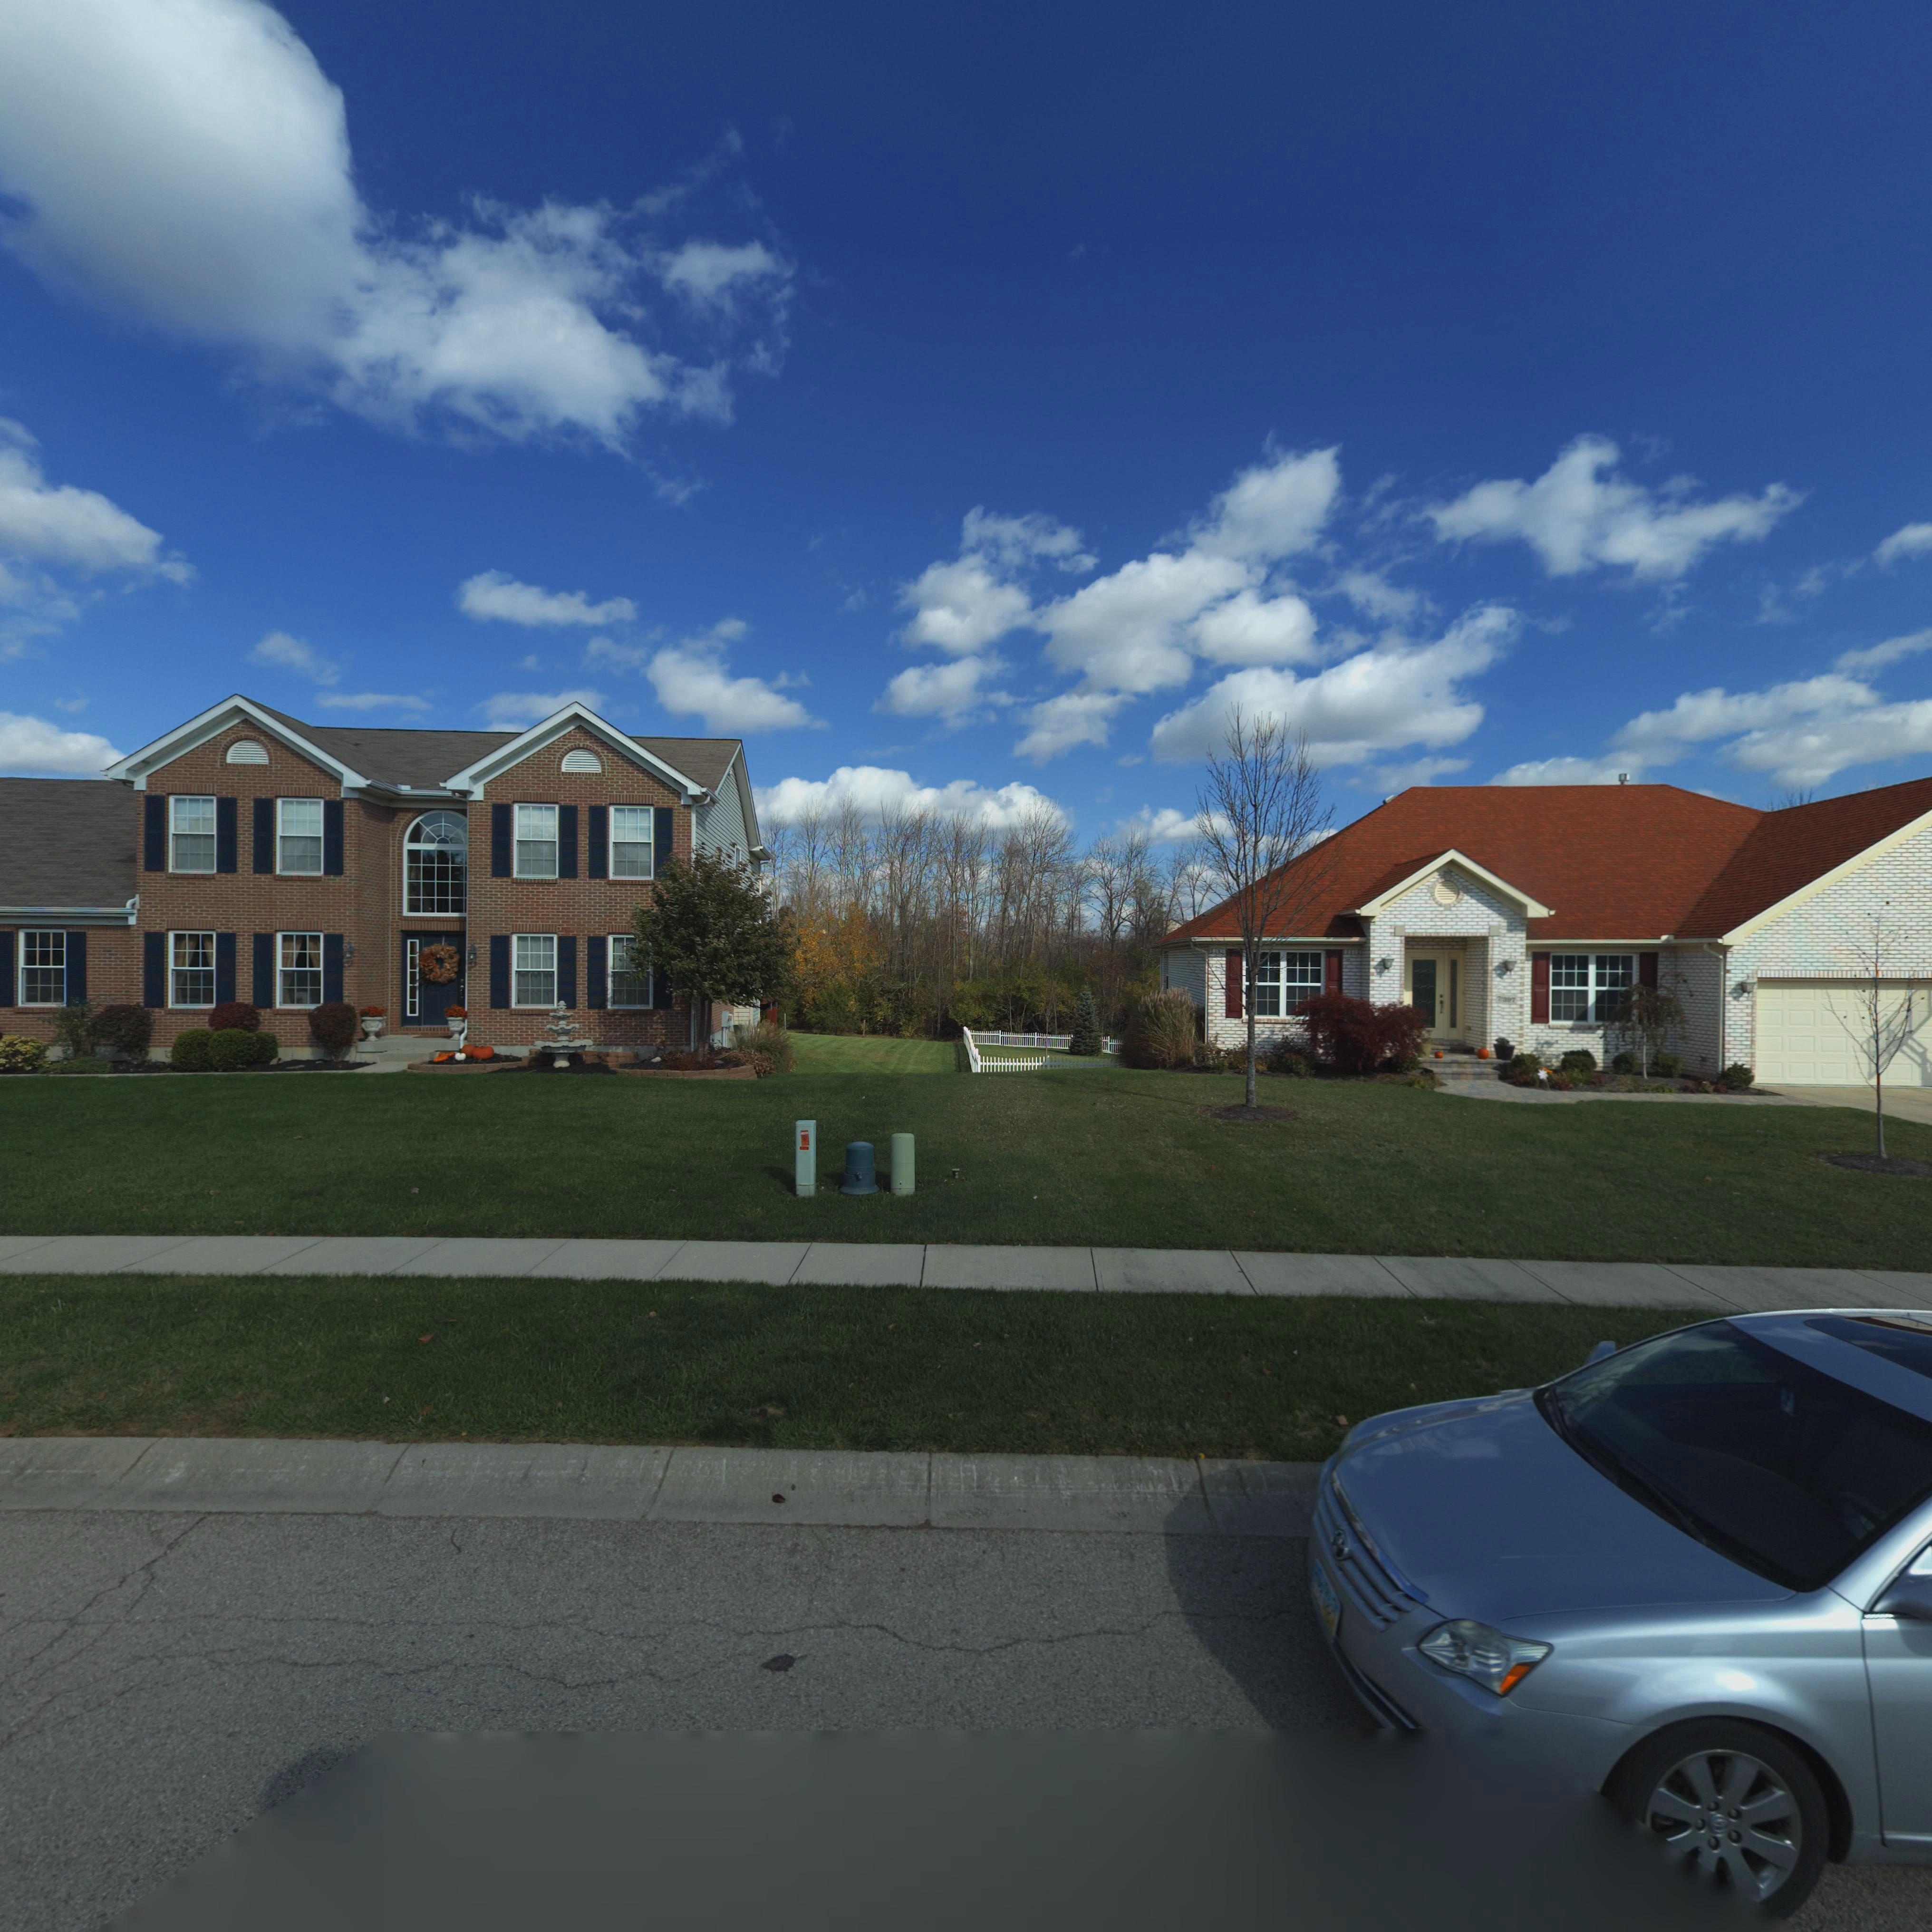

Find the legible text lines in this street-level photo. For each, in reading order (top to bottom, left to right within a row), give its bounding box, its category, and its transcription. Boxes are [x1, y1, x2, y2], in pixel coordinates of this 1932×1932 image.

[1496, 995, 1517, 1003] StreetNumber: 7*397